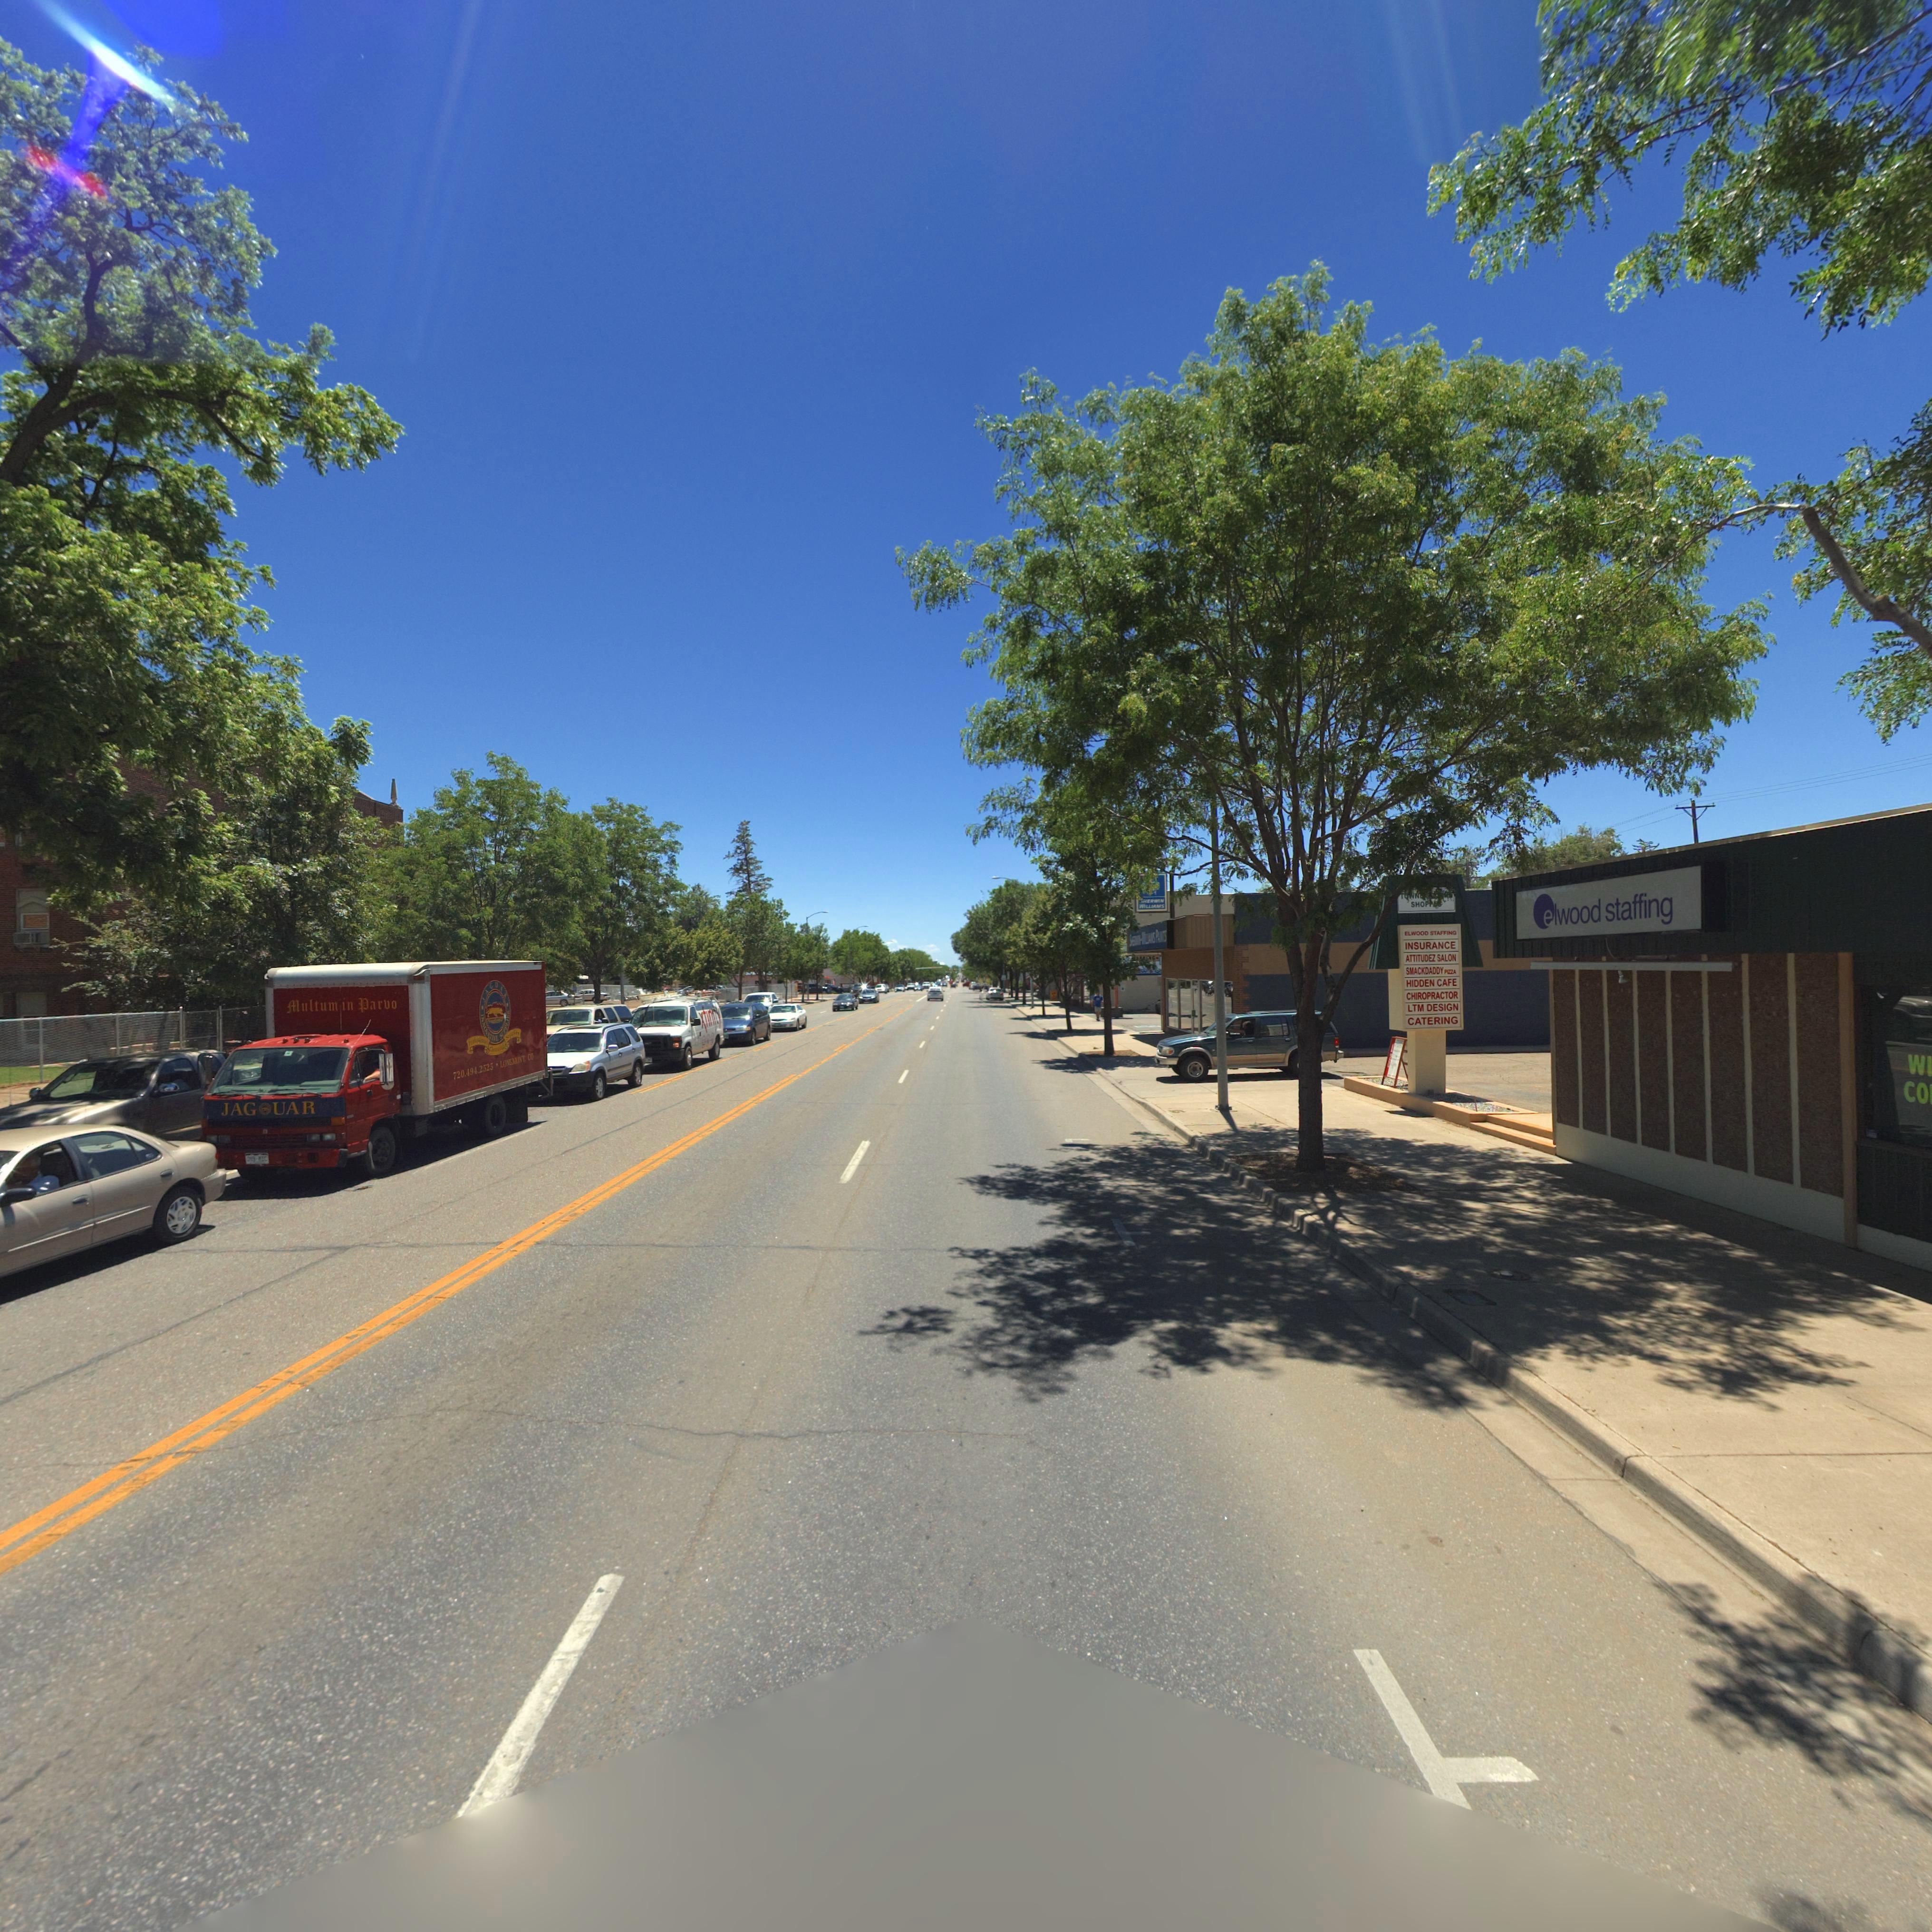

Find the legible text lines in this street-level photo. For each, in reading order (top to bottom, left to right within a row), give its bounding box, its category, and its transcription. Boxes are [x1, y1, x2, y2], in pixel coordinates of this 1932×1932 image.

[1139, 898, 1164, 903] BusinessName: SHERMAN
[1139, 903, 1164, 908] BusinessName: WILLIAMS
[1543, 892, 1673, 927] BusinessName: elwood staffing
[1404, 930, 1456, 936] BusinessName: ELWOOD STAFFING
[1129, 928, 1167, 947] BusinessName: S*E**** W*L**AMS PA*NTS
[1406, 954, 1456, 962] BusinessName: ATTITUDEZ SALON
[1406, 966, 1456, 975] BusinessName: SMACKDADDY PIZZA
[1406, 978, 1457, 987] BusinessName: HIDDEN CAFE
[1408, 1003, 1459, 1012] BusinessName: LTM DESIGN